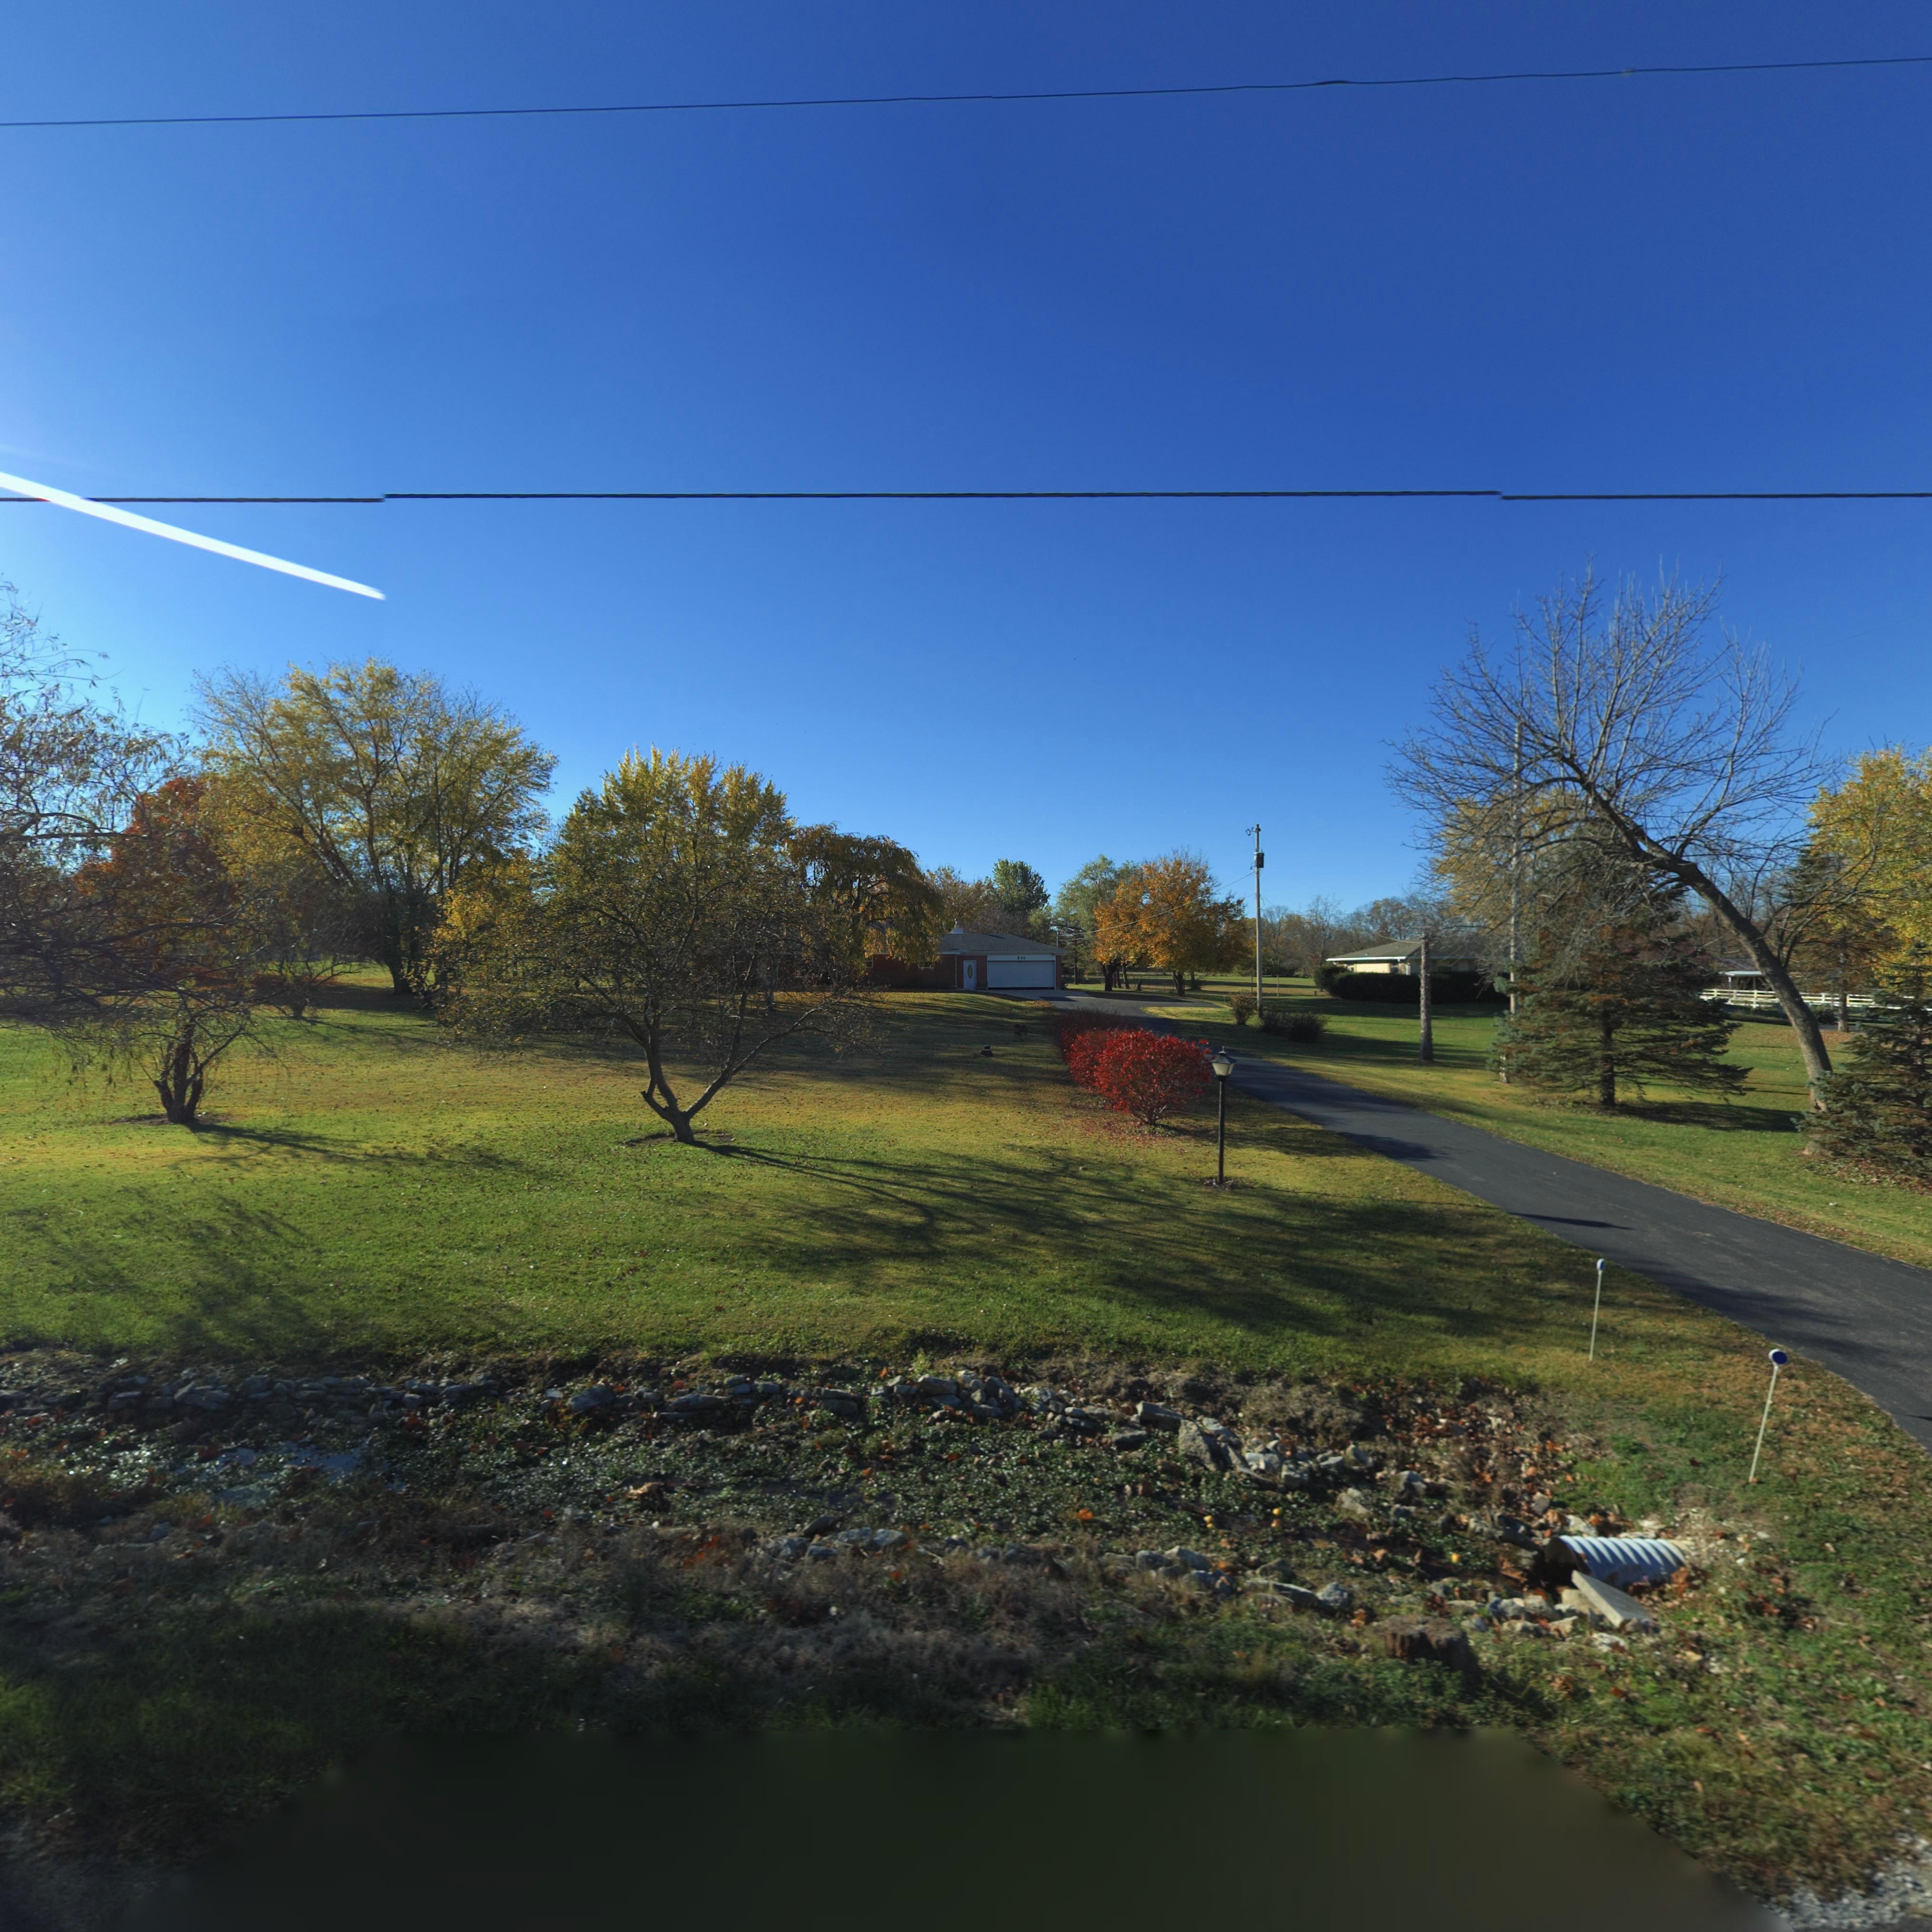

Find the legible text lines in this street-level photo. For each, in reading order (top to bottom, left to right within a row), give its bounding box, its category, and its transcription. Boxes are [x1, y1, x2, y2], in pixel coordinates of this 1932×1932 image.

[1017, 956, 1026, 960] StreetNumber: *30